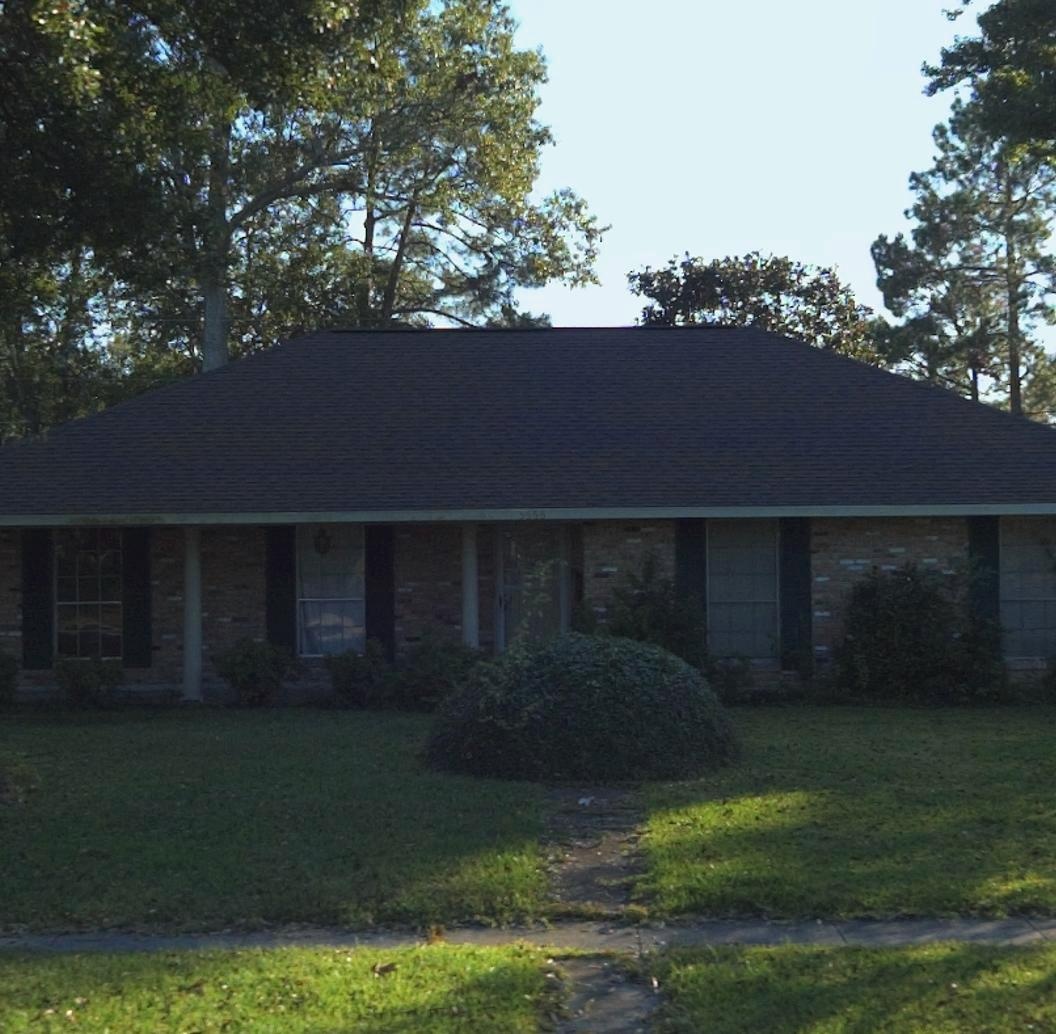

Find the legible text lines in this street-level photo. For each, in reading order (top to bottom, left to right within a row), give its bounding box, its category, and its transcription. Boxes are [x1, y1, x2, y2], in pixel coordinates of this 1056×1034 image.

[519, 509, 547, 520] StreetNumber: 9566